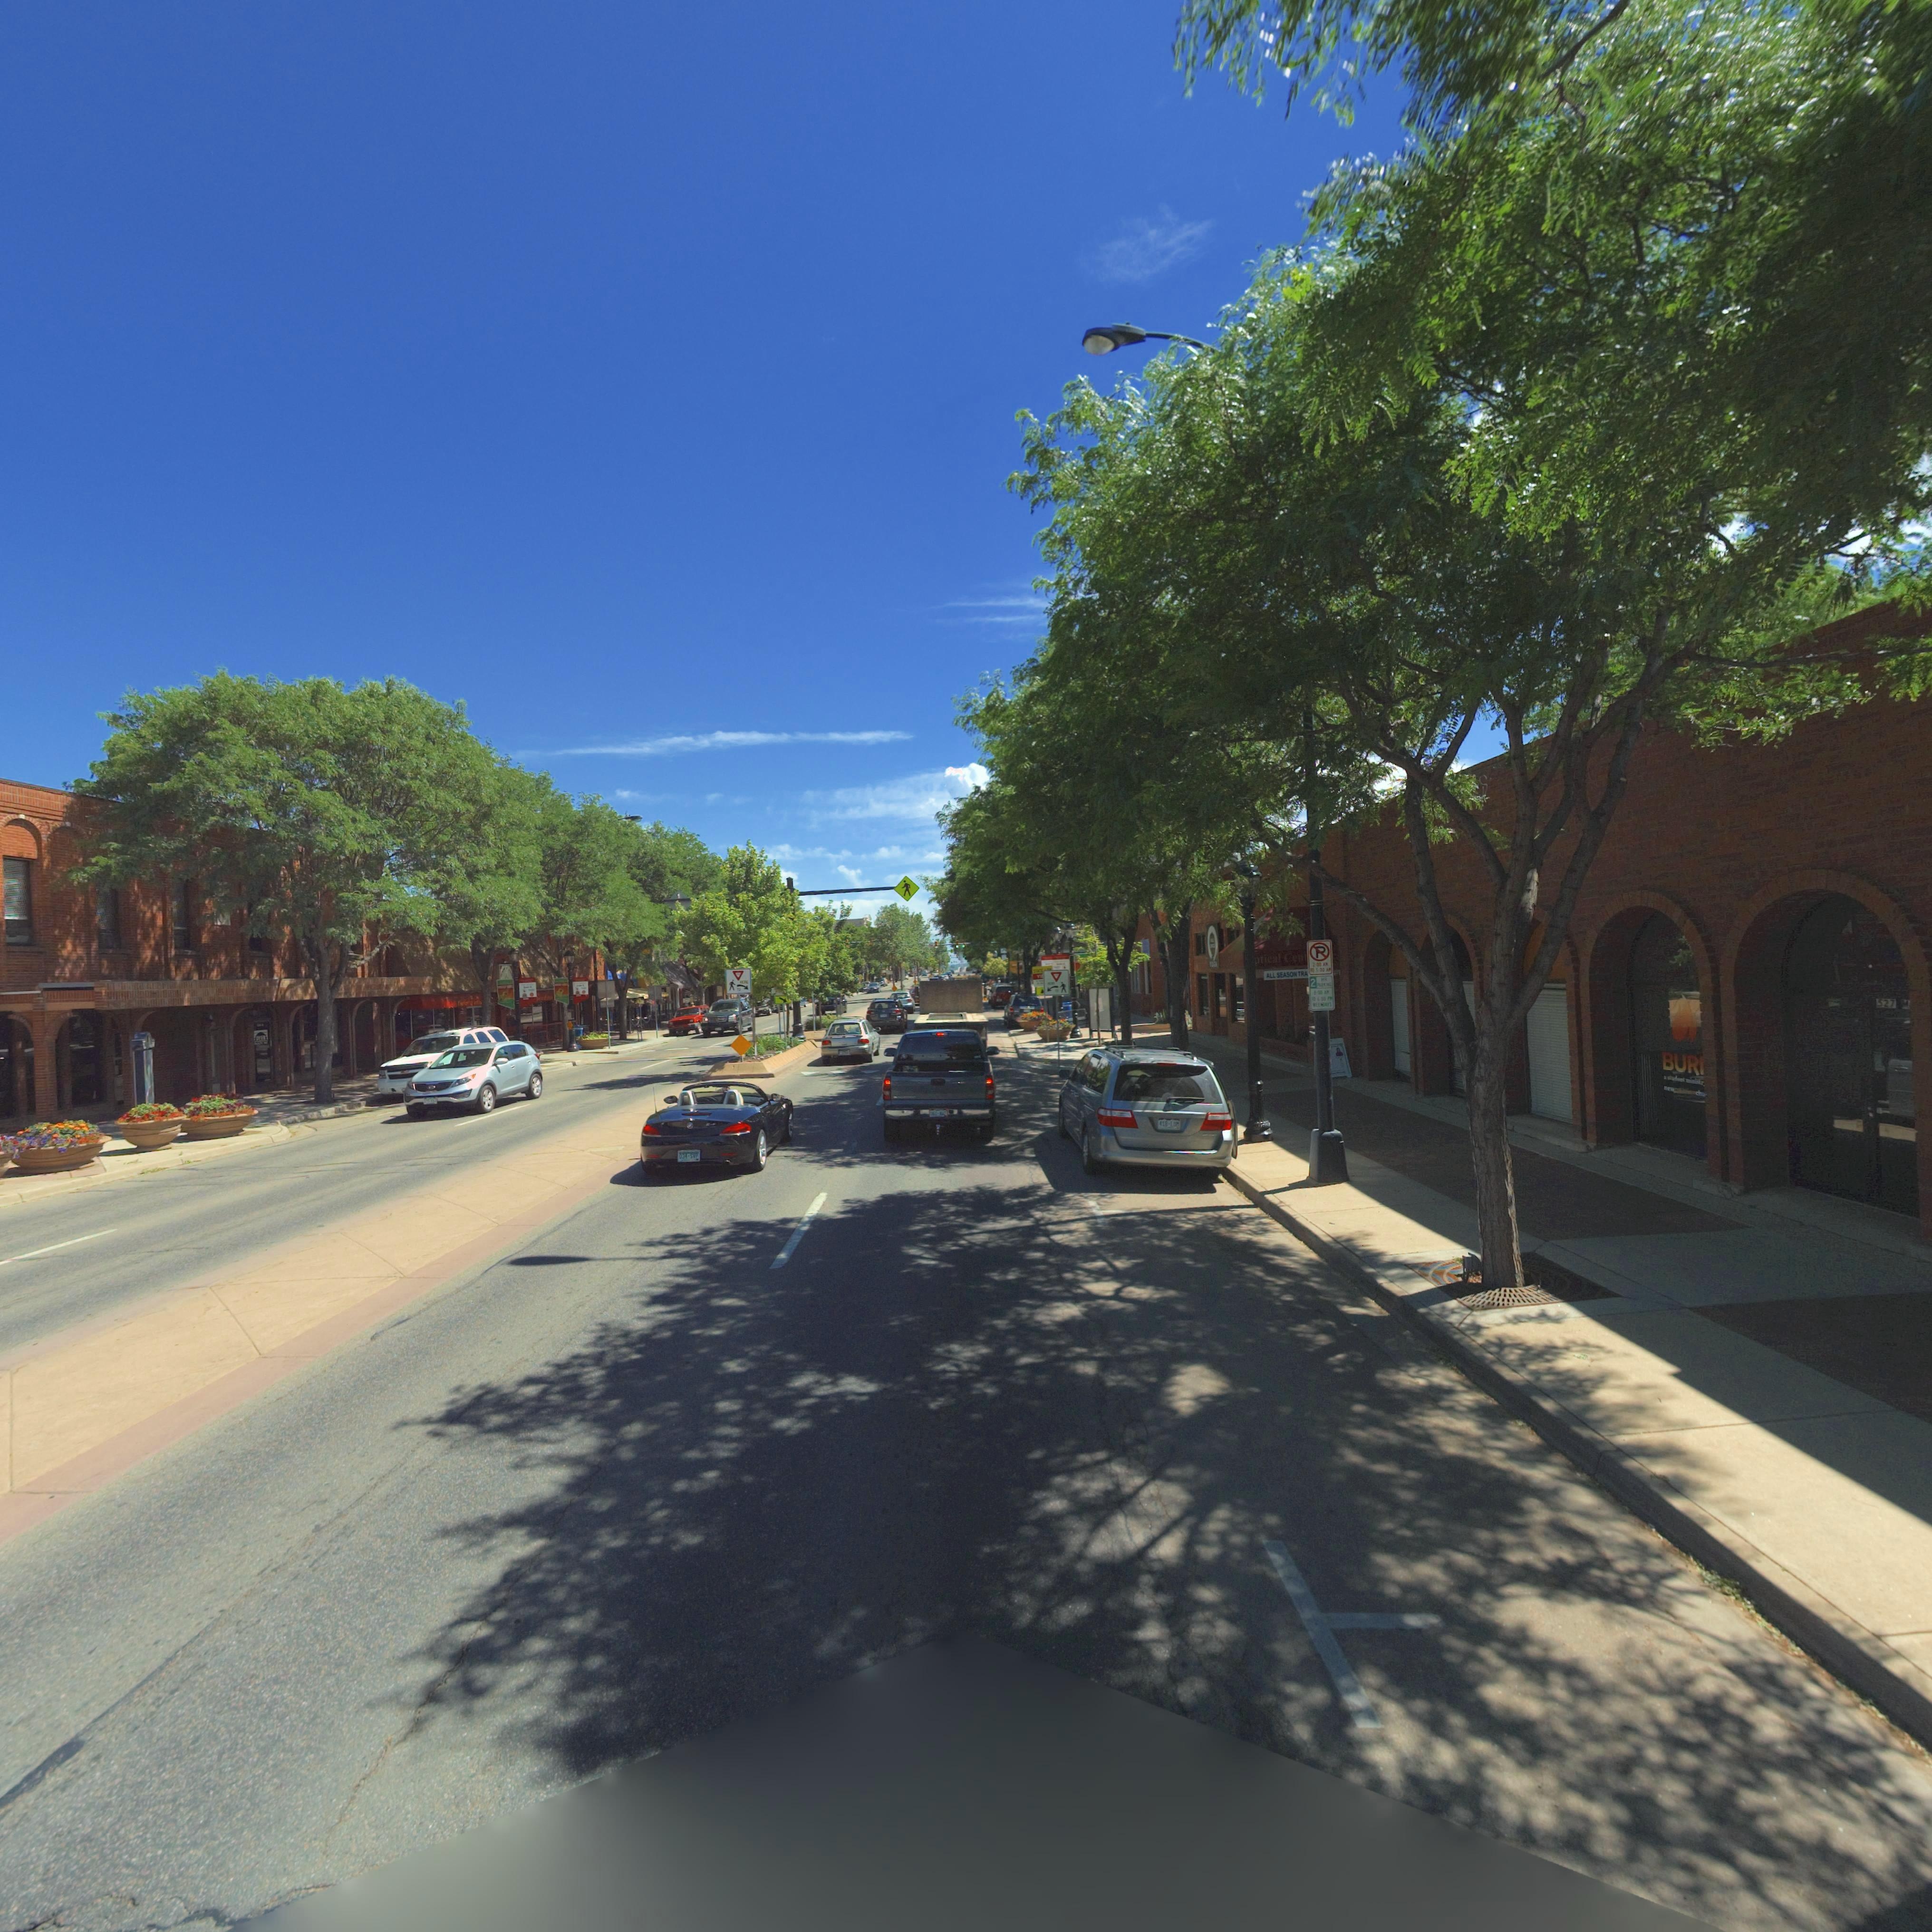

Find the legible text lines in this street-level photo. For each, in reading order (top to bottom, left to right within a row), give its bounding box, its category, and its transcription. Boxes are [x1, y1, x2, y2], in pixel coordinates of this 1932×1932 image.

[1876, 998, 1895, 1008] StreetNumber: 527
[1662, 1052, 1704, 1076] BusinessName: BURN*